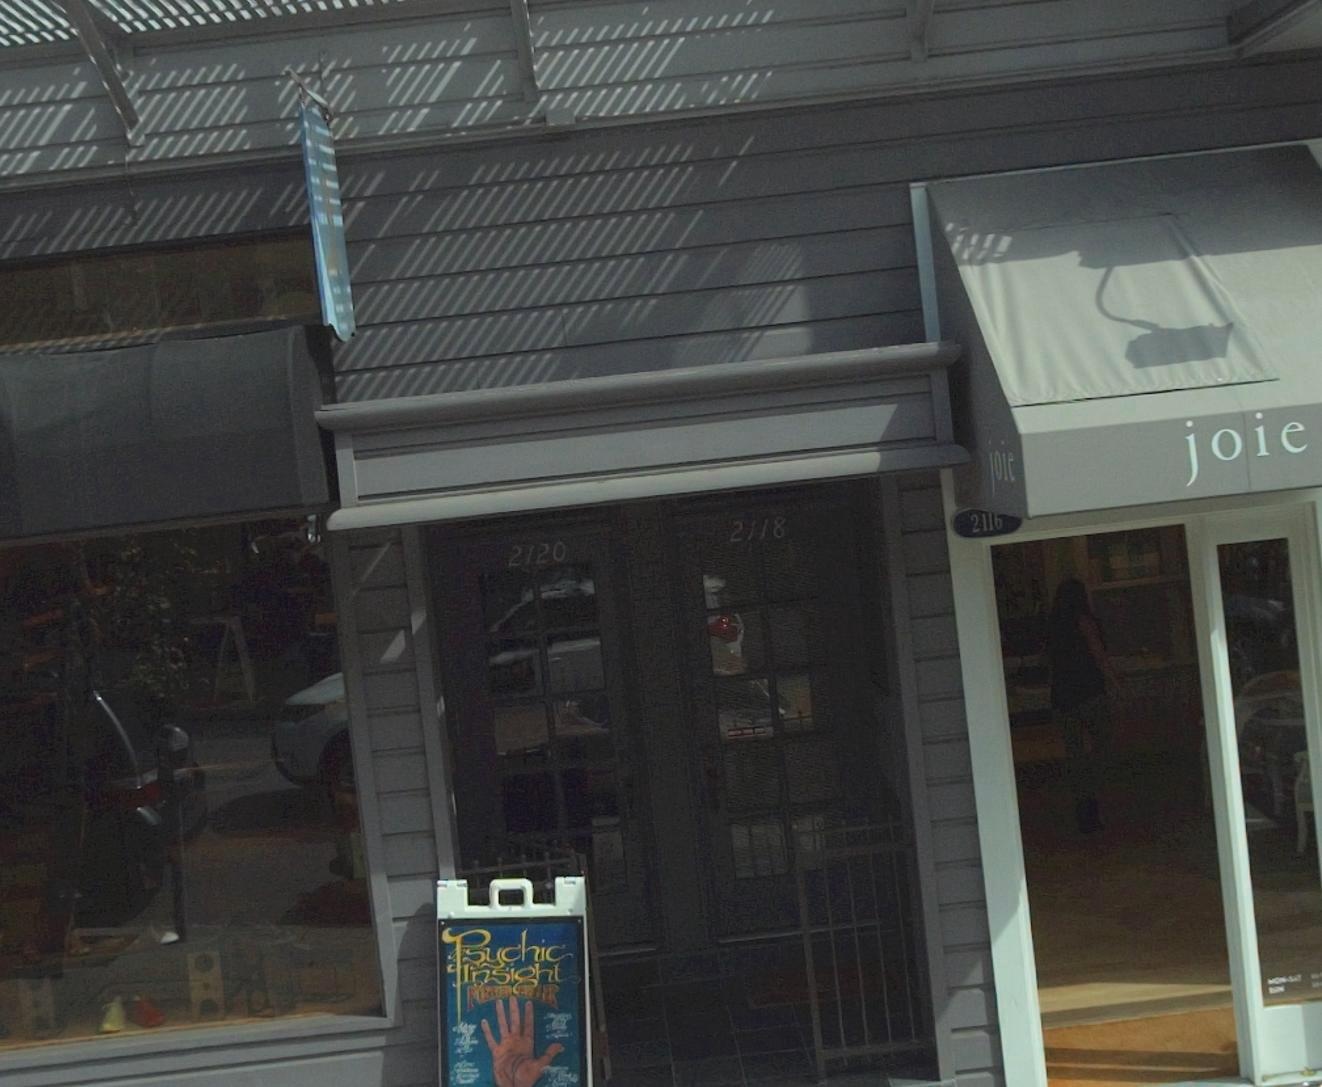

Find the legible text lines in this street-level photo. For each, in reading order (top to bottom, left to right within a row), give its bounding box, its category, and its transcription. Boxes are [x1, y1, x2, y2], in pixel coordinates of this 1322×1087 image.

[982, 435, 1020, 503] BusinessName: joie
[1178, 407, 1313, 496] BusinessName: joie
[728, 515, 789, 547] StreetNumber: 2118
[968, 511, 1006, 536] StreetNumber: 2116
[505, 538, 570, 570] StreetNumber: 2120
[452, 926, 566, 970] None: Psychic
[460, 960, 566, 998] None: Insight